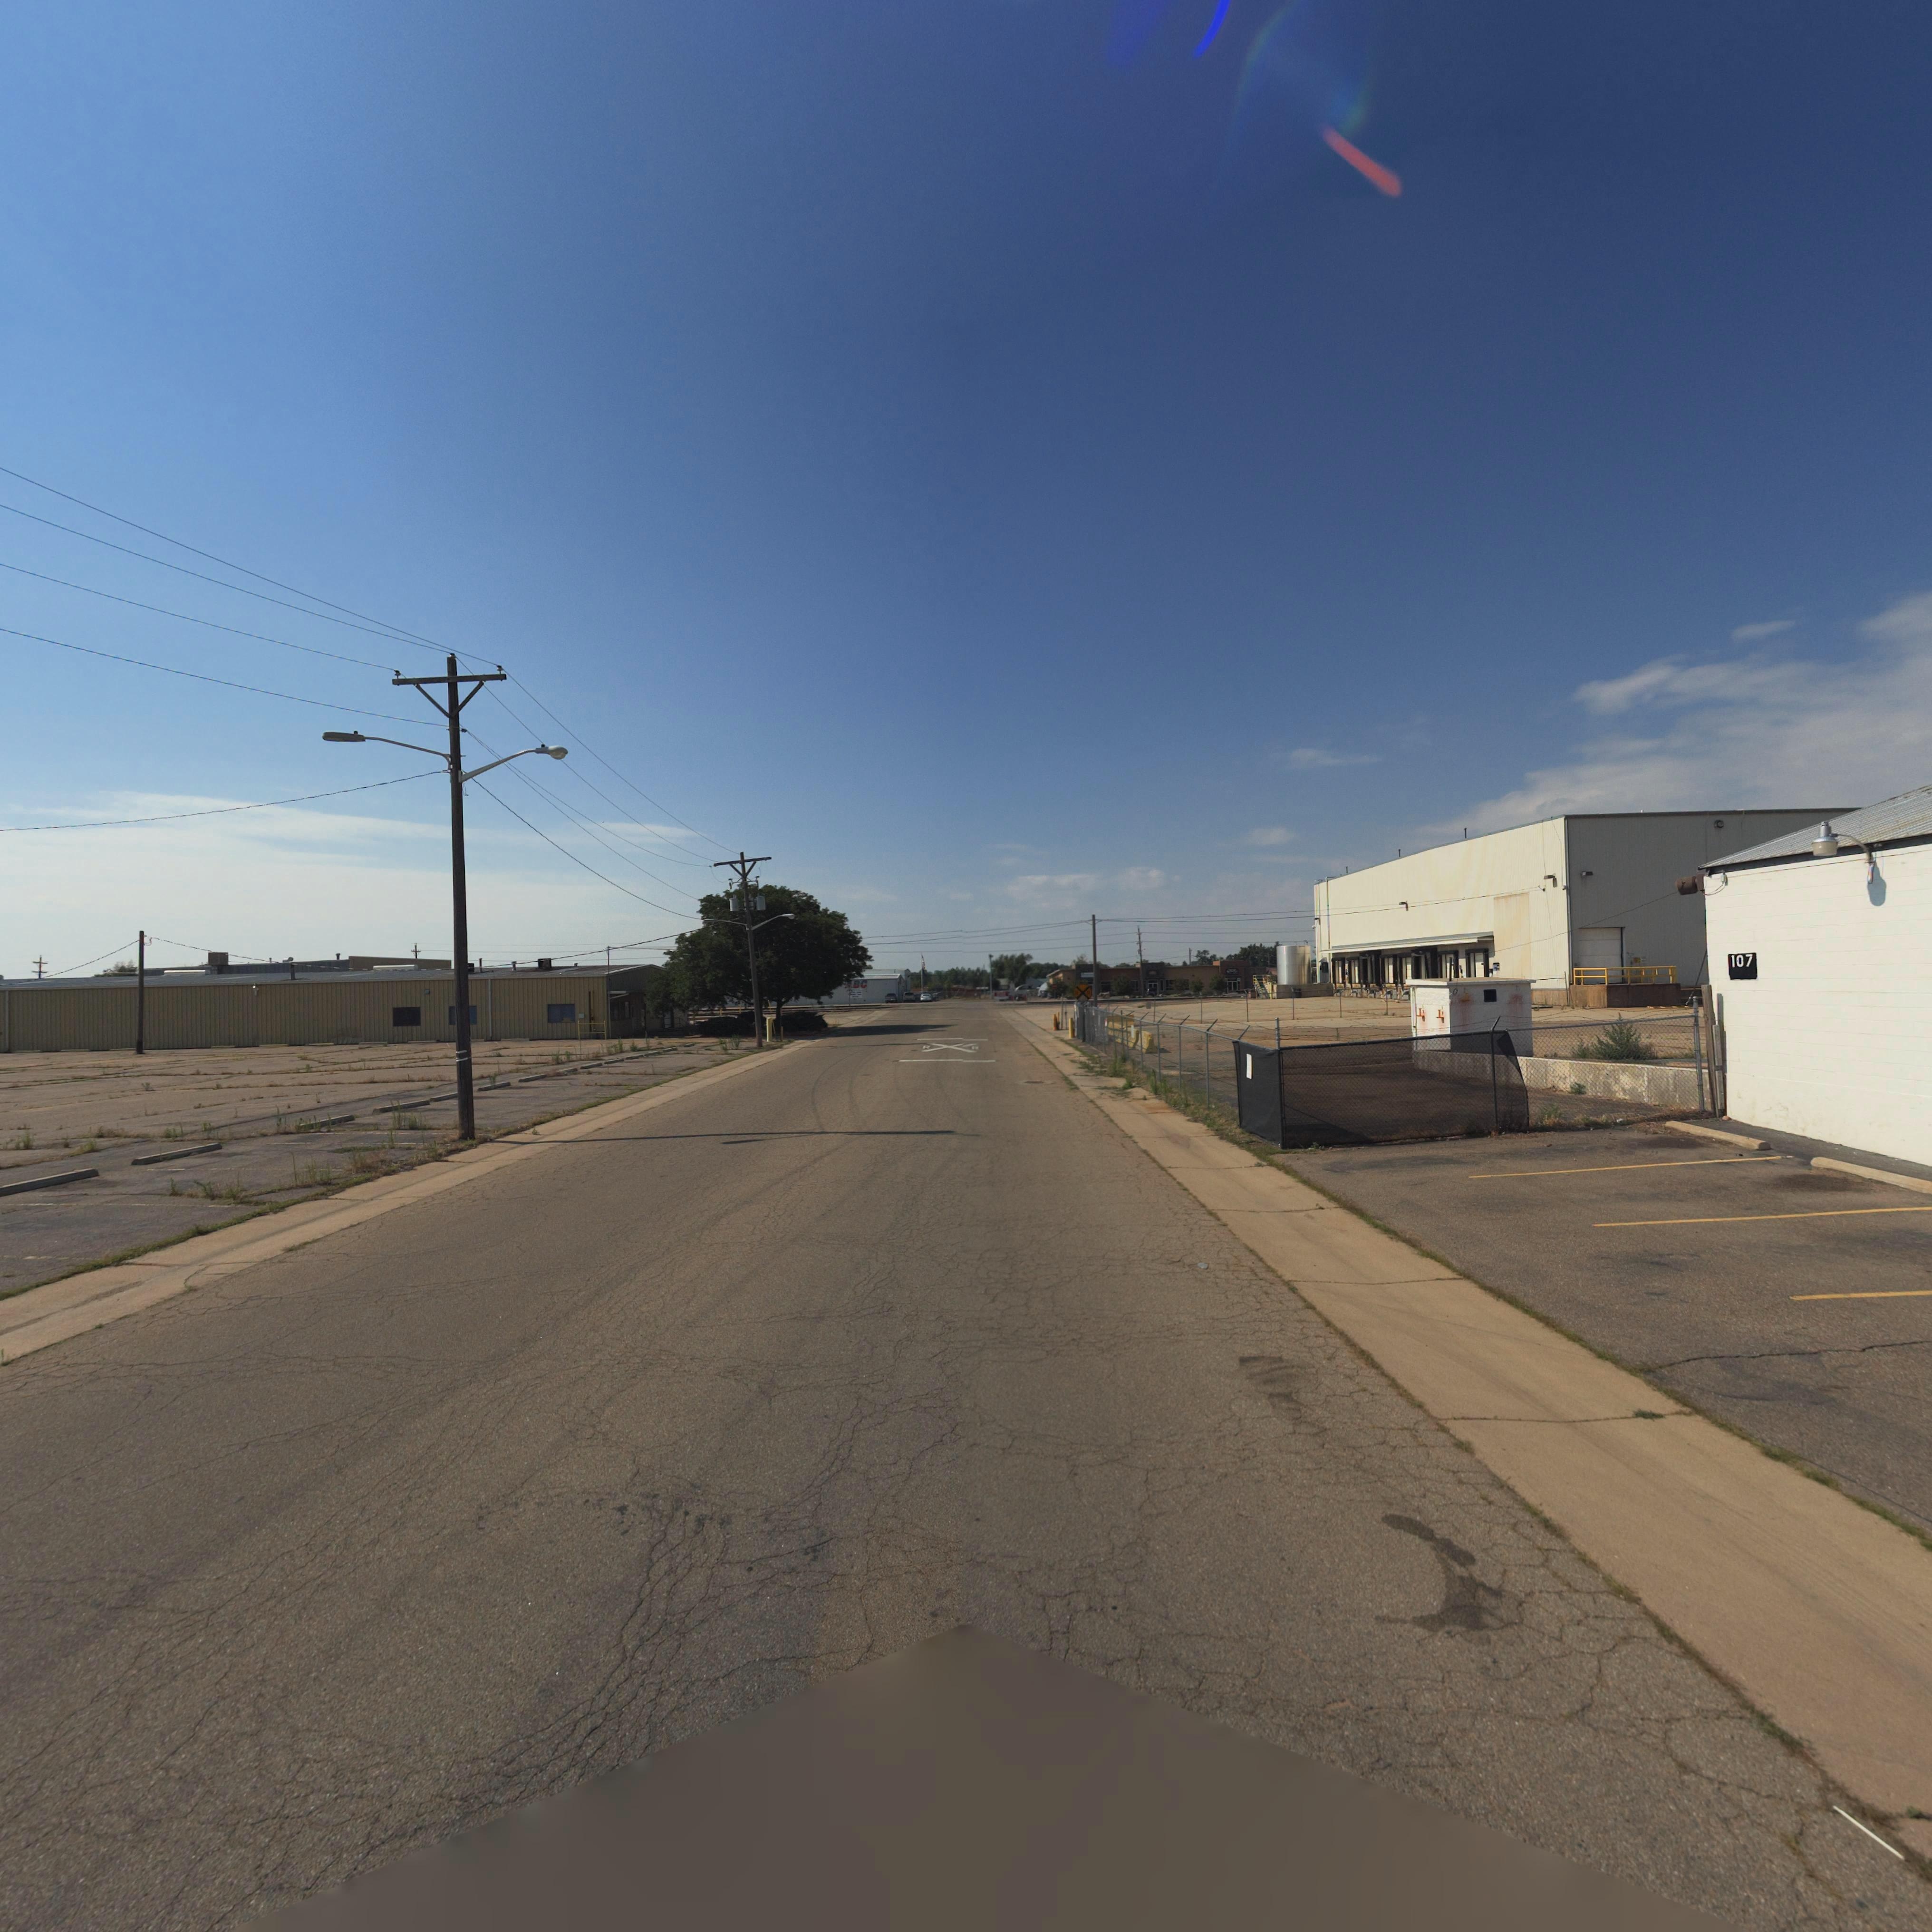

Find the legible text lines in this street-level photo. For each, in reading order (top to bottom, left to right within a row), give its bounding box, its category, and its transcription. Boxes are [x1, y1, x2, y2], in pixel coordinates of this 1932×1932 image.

[1730, 953, 1753, 968] StreetNumber: 107
[853, 979, 868, 988] BusinessName: BC